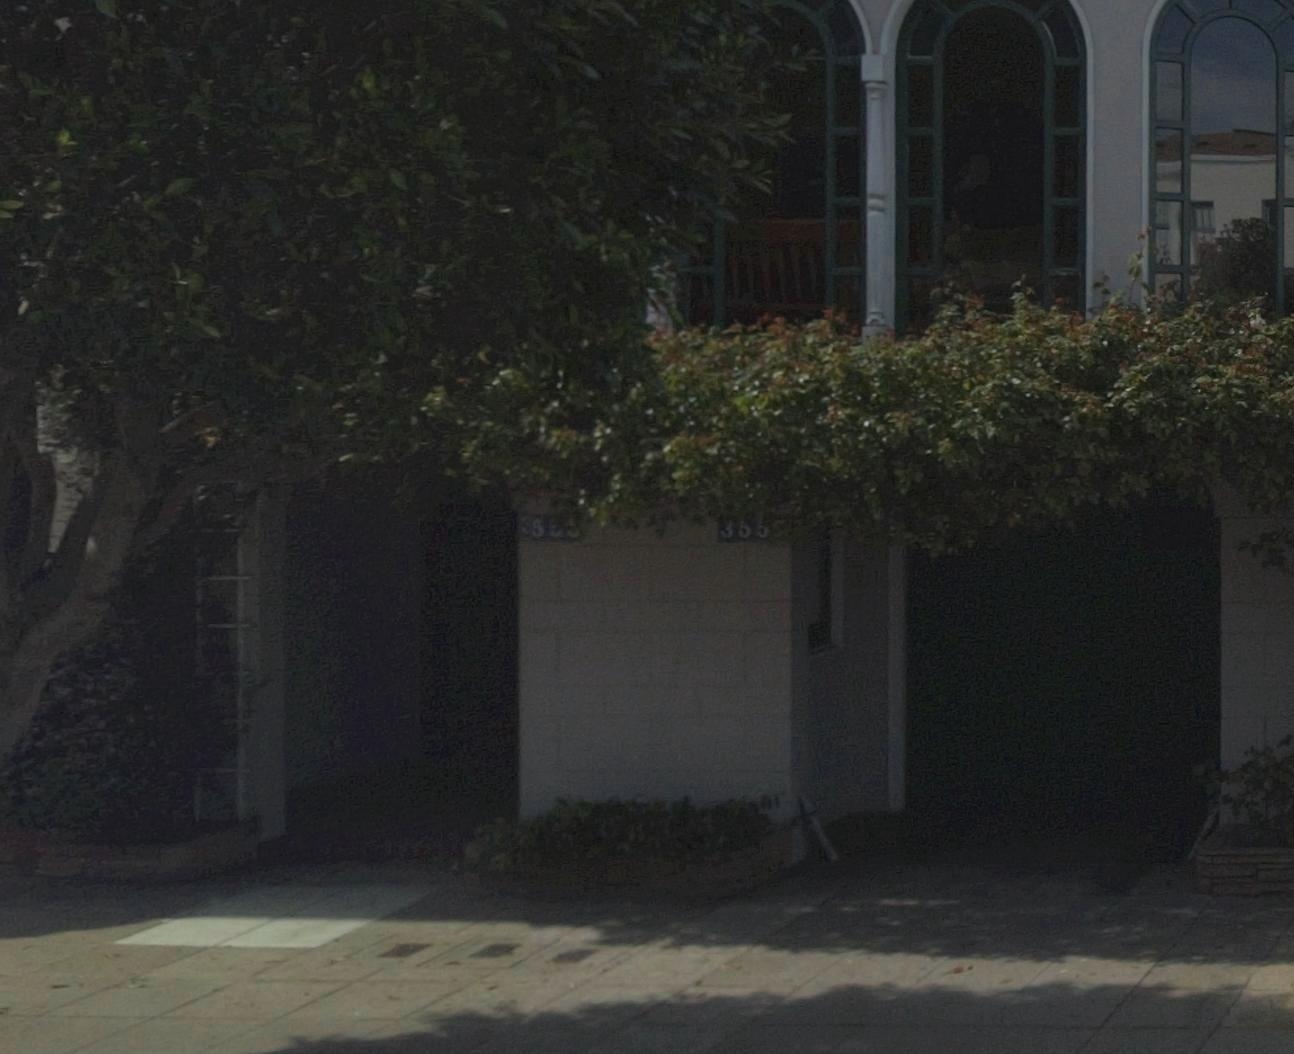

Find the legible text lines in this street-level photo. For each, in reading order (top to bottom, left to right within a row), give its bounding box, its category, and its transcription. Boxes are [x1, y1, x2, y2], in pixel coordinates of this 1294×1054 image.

[528, 517, 547, 541] StreetNumber: 5